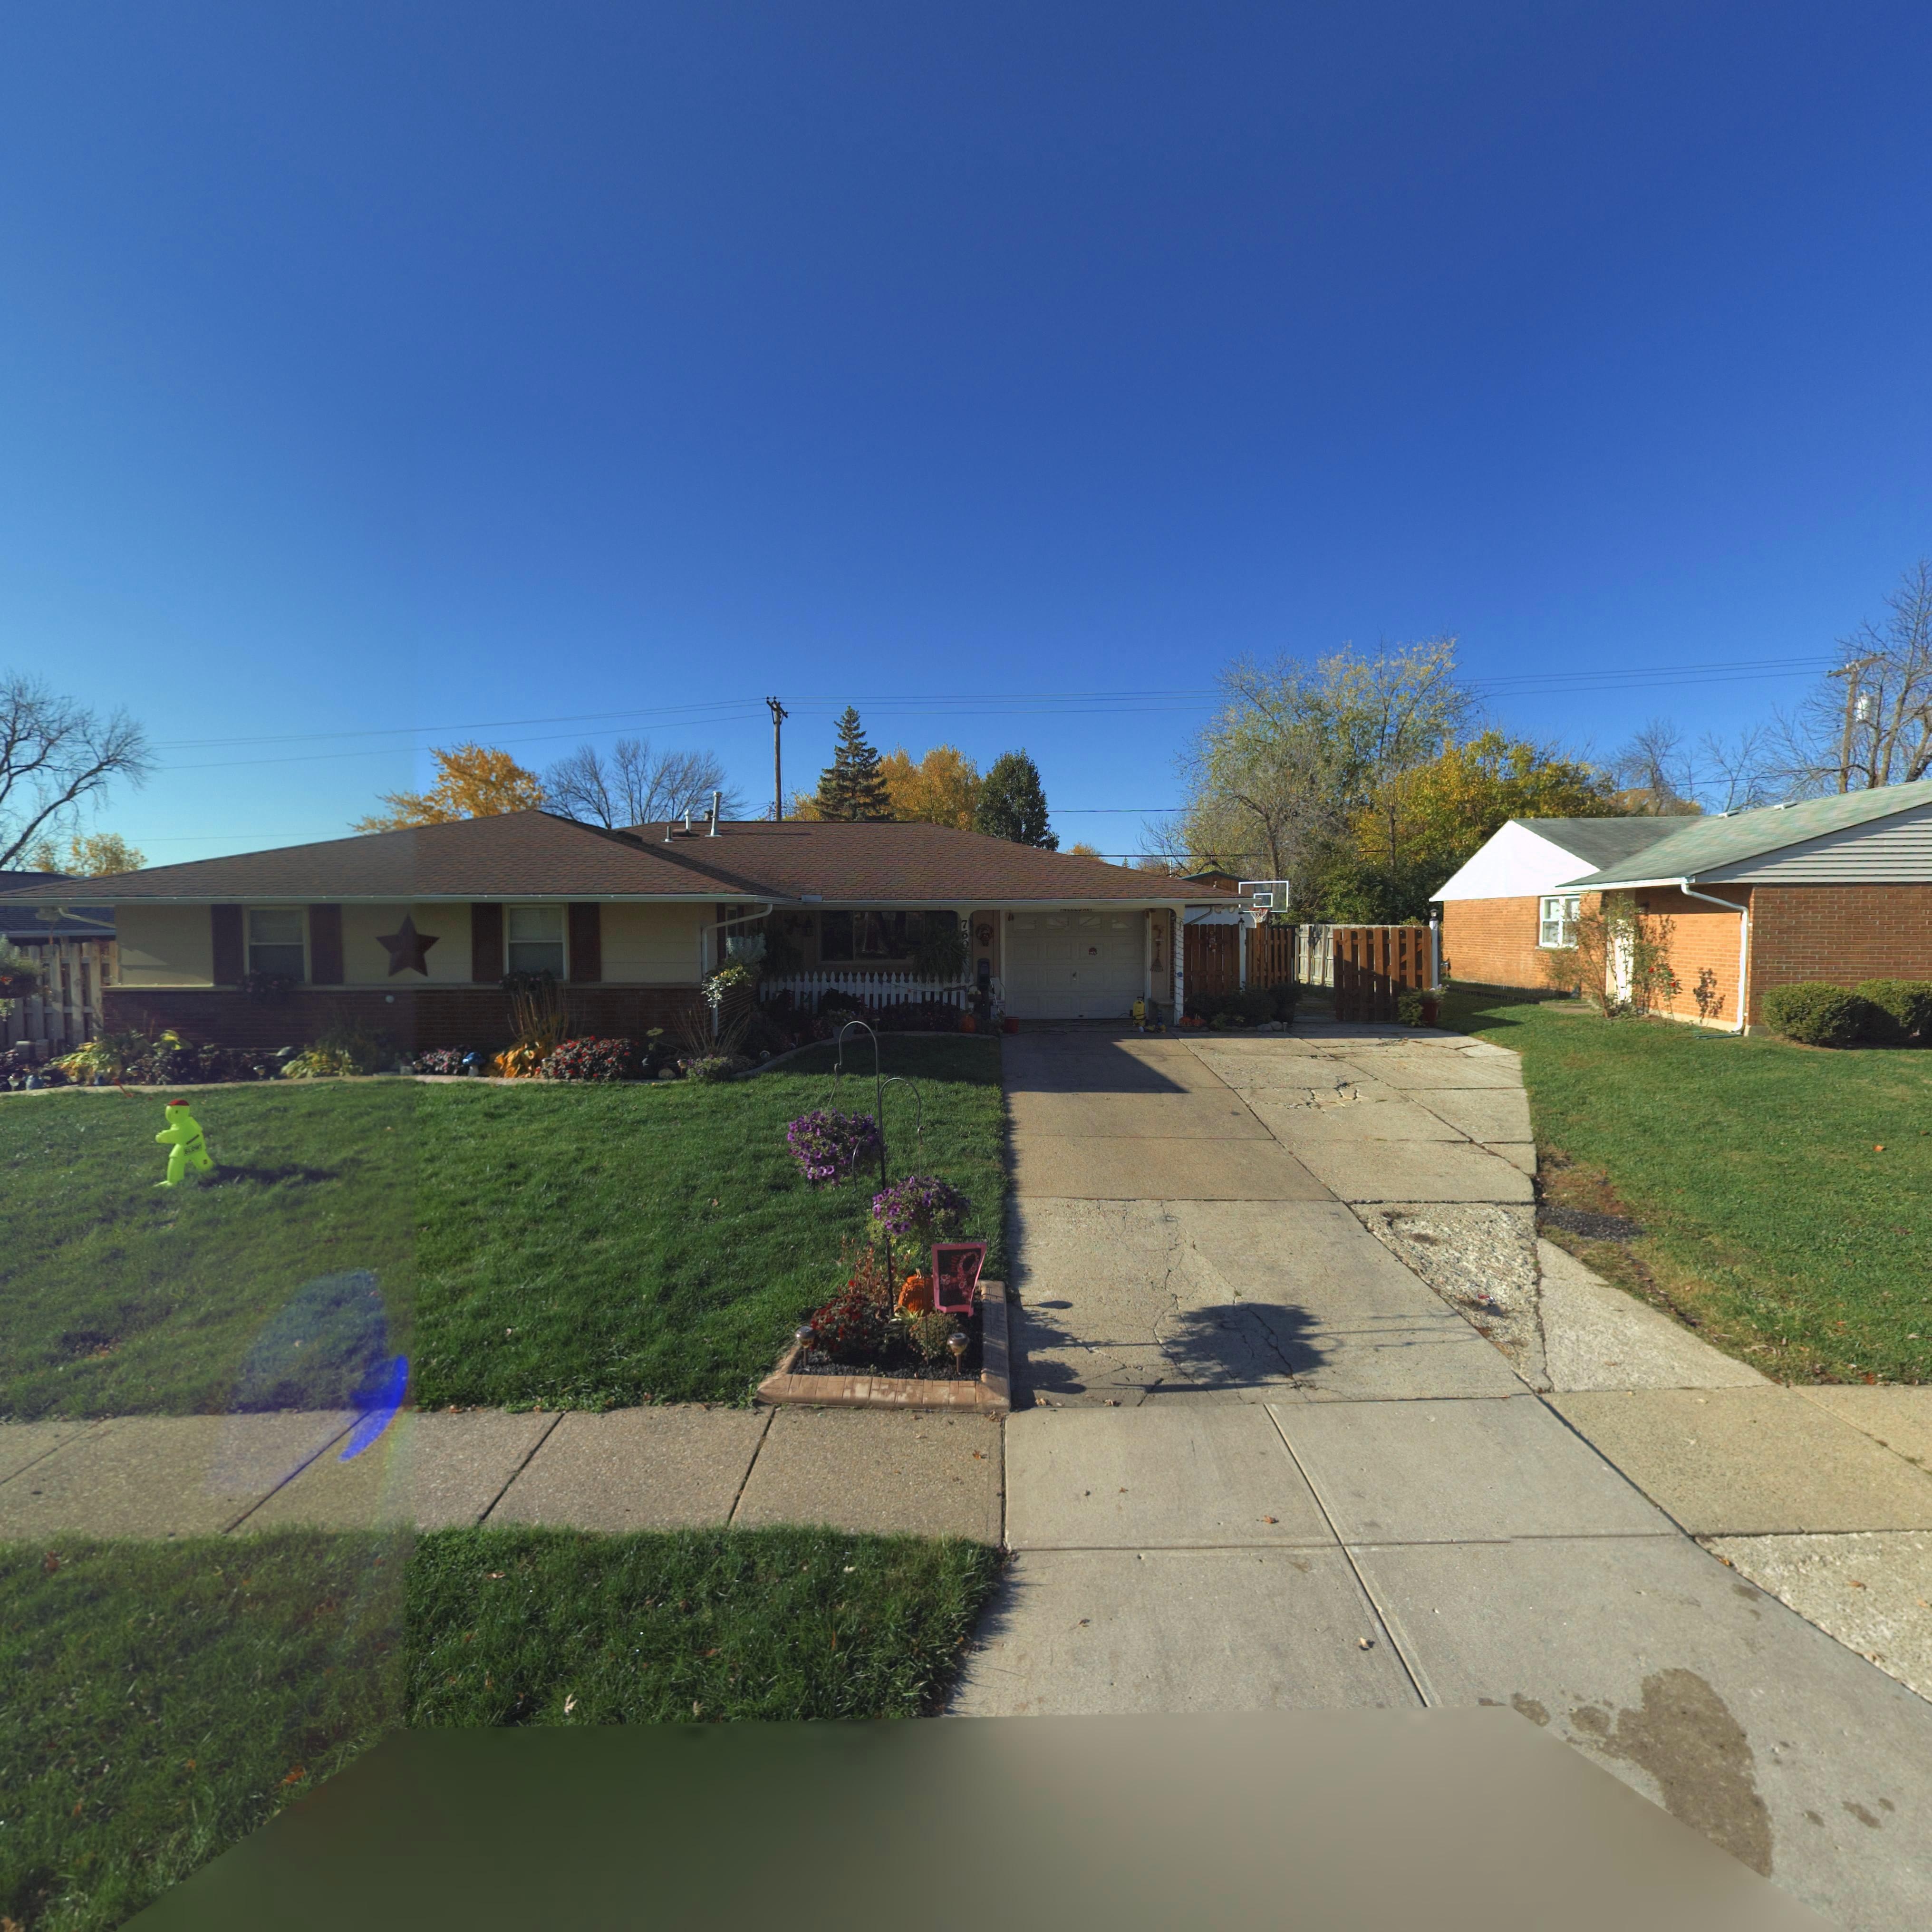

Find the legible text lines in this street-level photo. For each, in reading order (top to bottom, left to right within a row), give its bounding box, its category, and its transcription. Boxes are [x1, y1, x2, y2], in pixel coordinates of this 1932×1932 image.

[961, 919, 968, 940] StreetNumber: 76